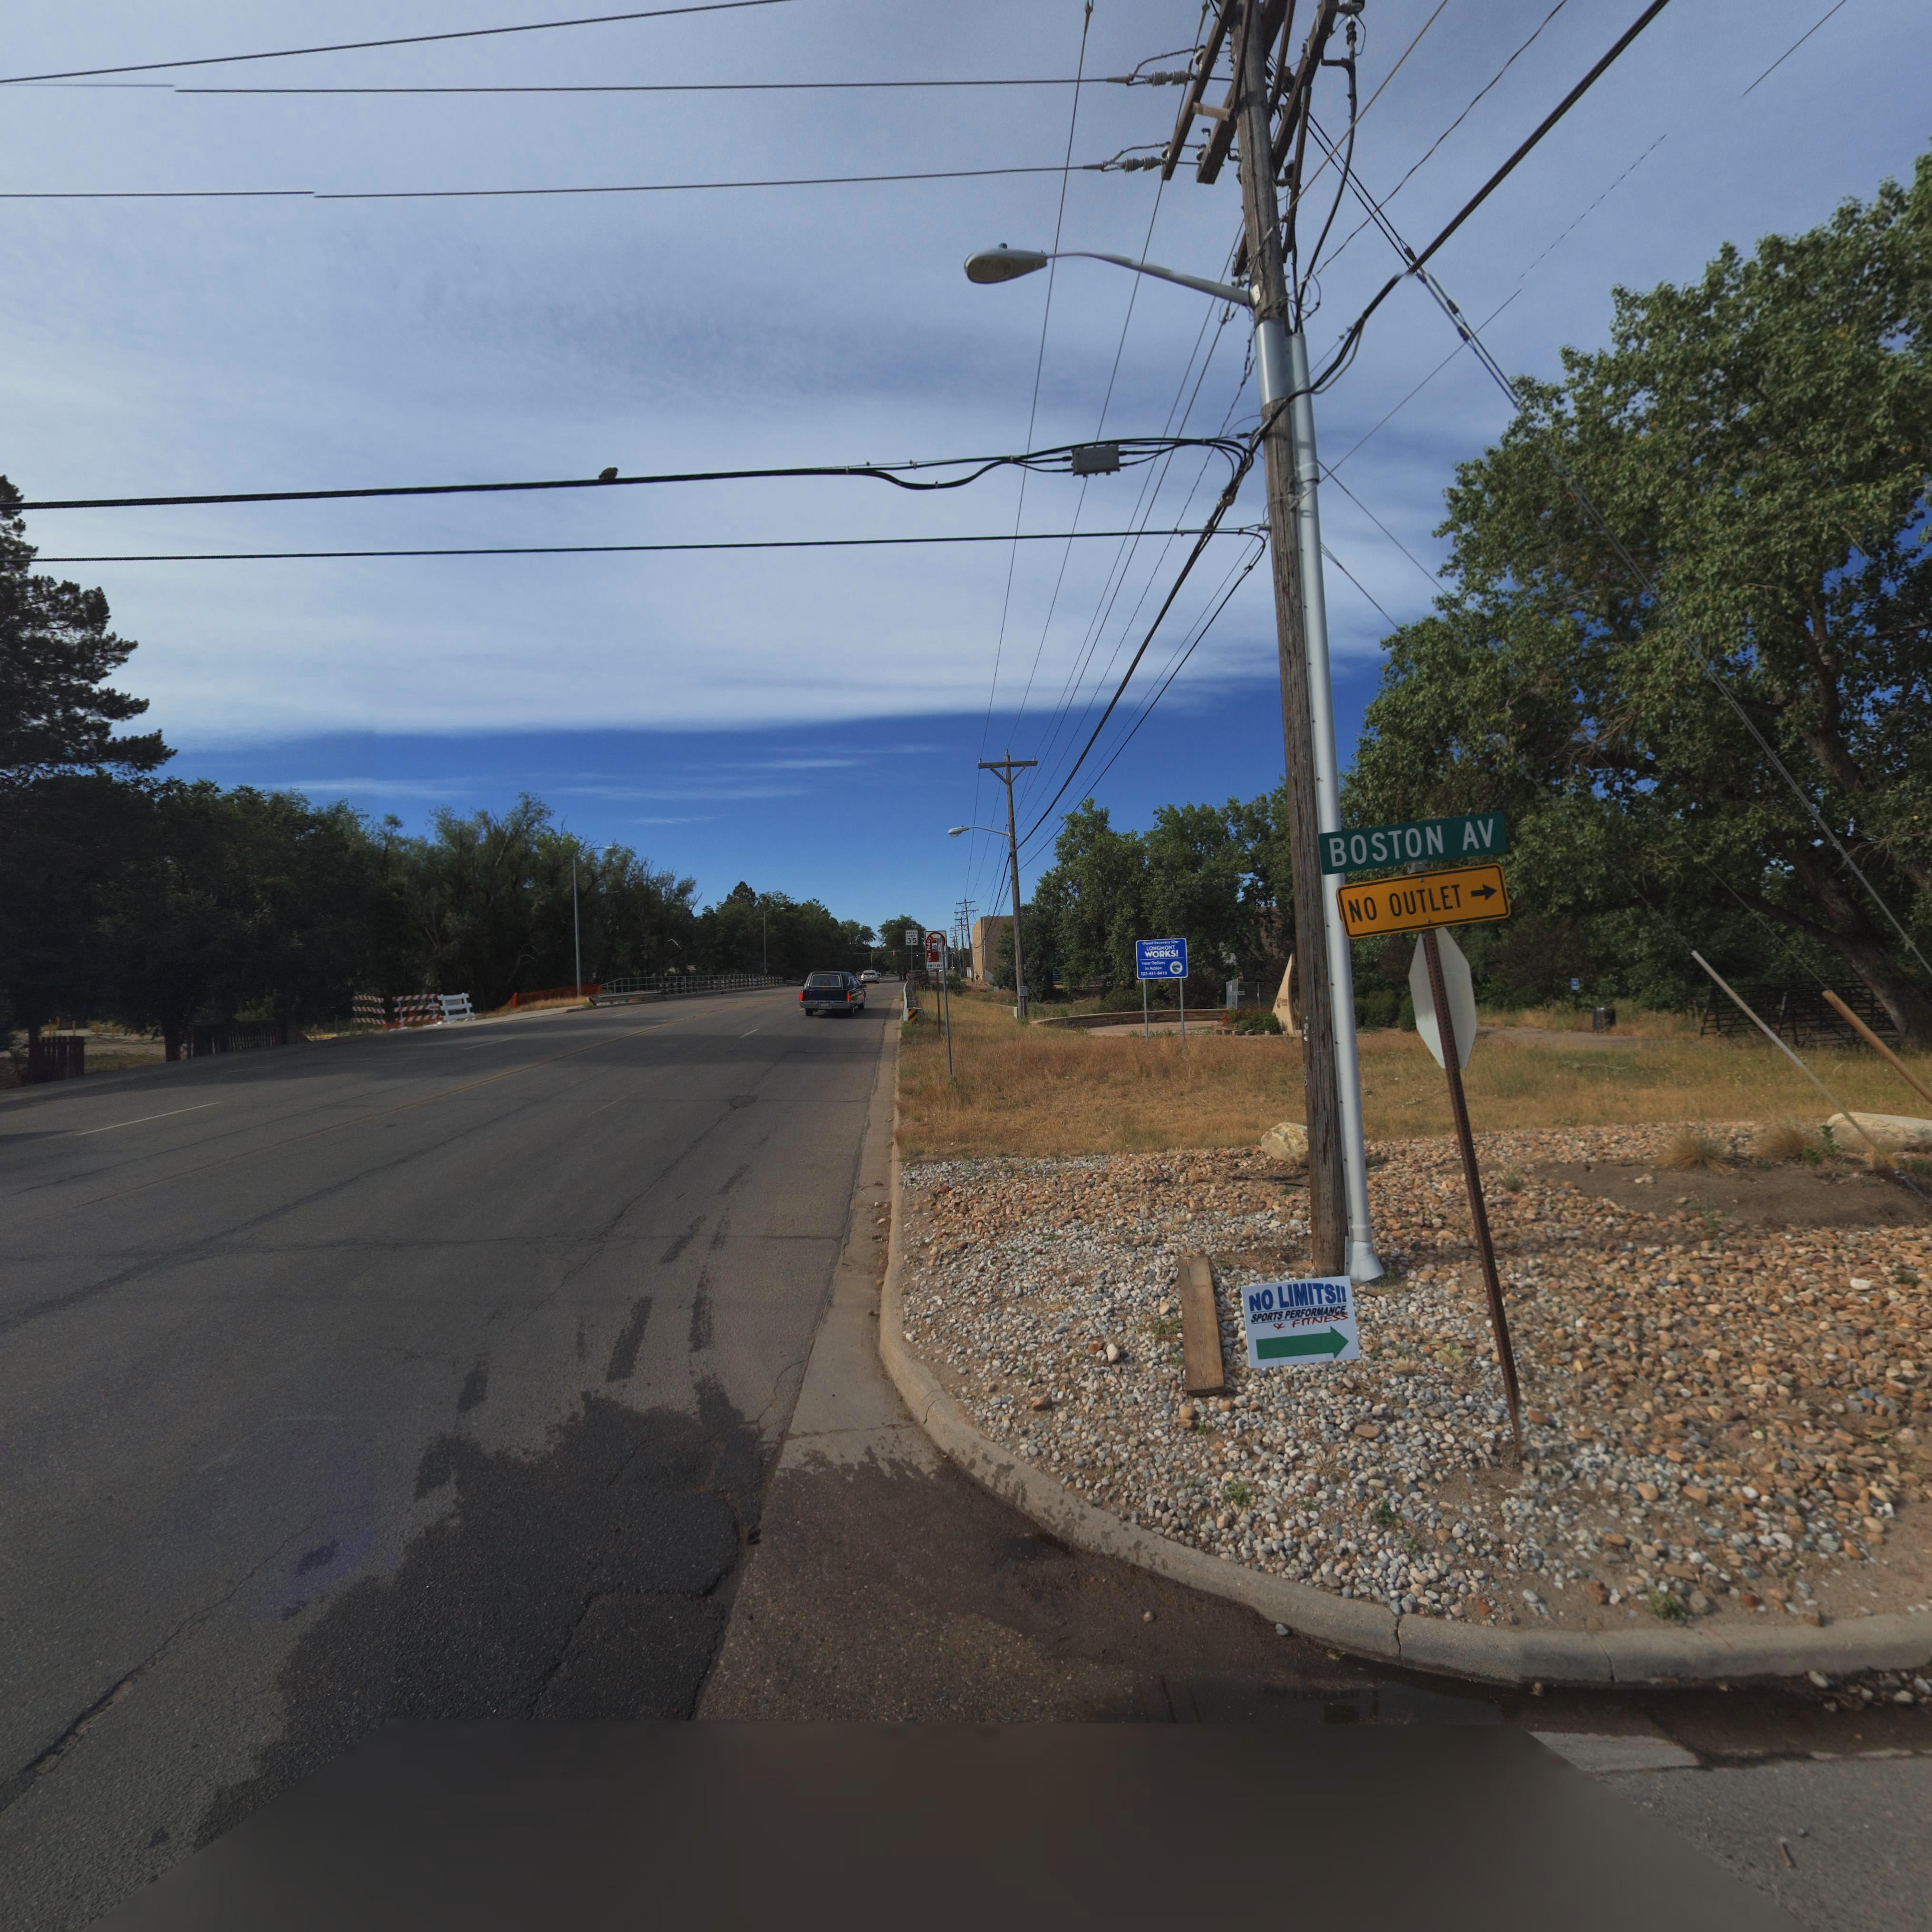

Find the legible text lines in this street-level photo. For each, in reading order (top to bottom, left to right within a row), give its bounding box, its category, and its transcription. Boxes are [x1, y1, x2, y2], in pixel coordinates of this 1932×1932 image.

[1328, 816, 1494, 868] StreetName: BOSTON AV